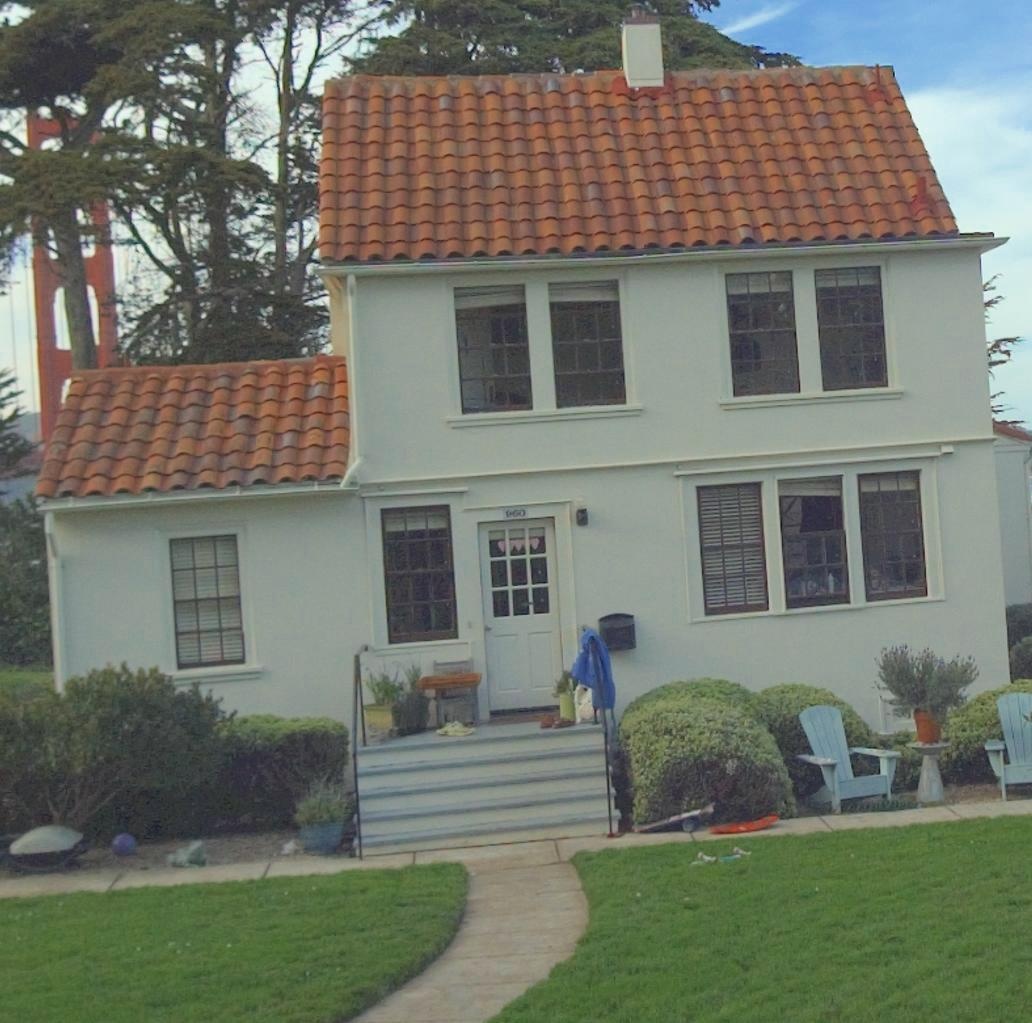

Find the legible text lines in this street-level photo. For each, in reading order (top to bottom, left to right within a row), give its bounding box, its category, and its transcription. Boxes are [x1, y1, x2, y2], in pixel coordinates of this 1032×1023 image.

[504, 507, 527, 519] StreetNumber: 960